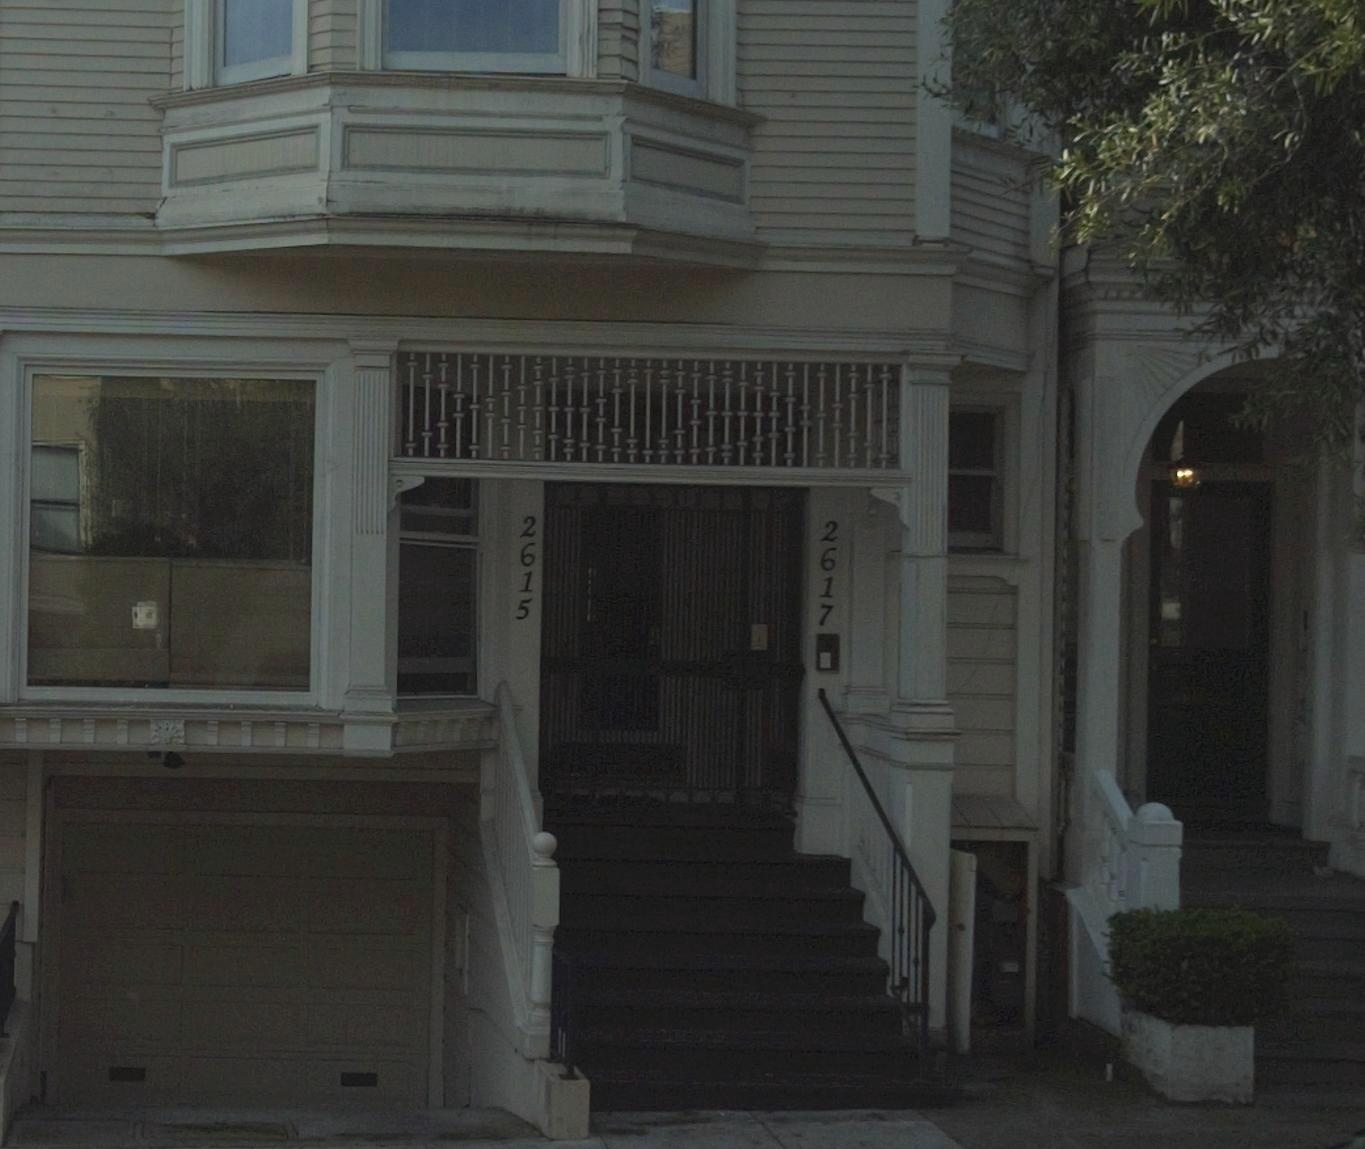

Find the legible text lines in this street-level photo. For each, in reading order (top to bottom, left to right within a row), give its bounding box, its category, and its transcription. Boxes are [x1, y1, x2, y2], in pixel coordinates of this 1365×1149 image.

[513, 513, 539, 622] StreetNumber: 2615
[815, 518, 842, 628] StreetNumber: 2617